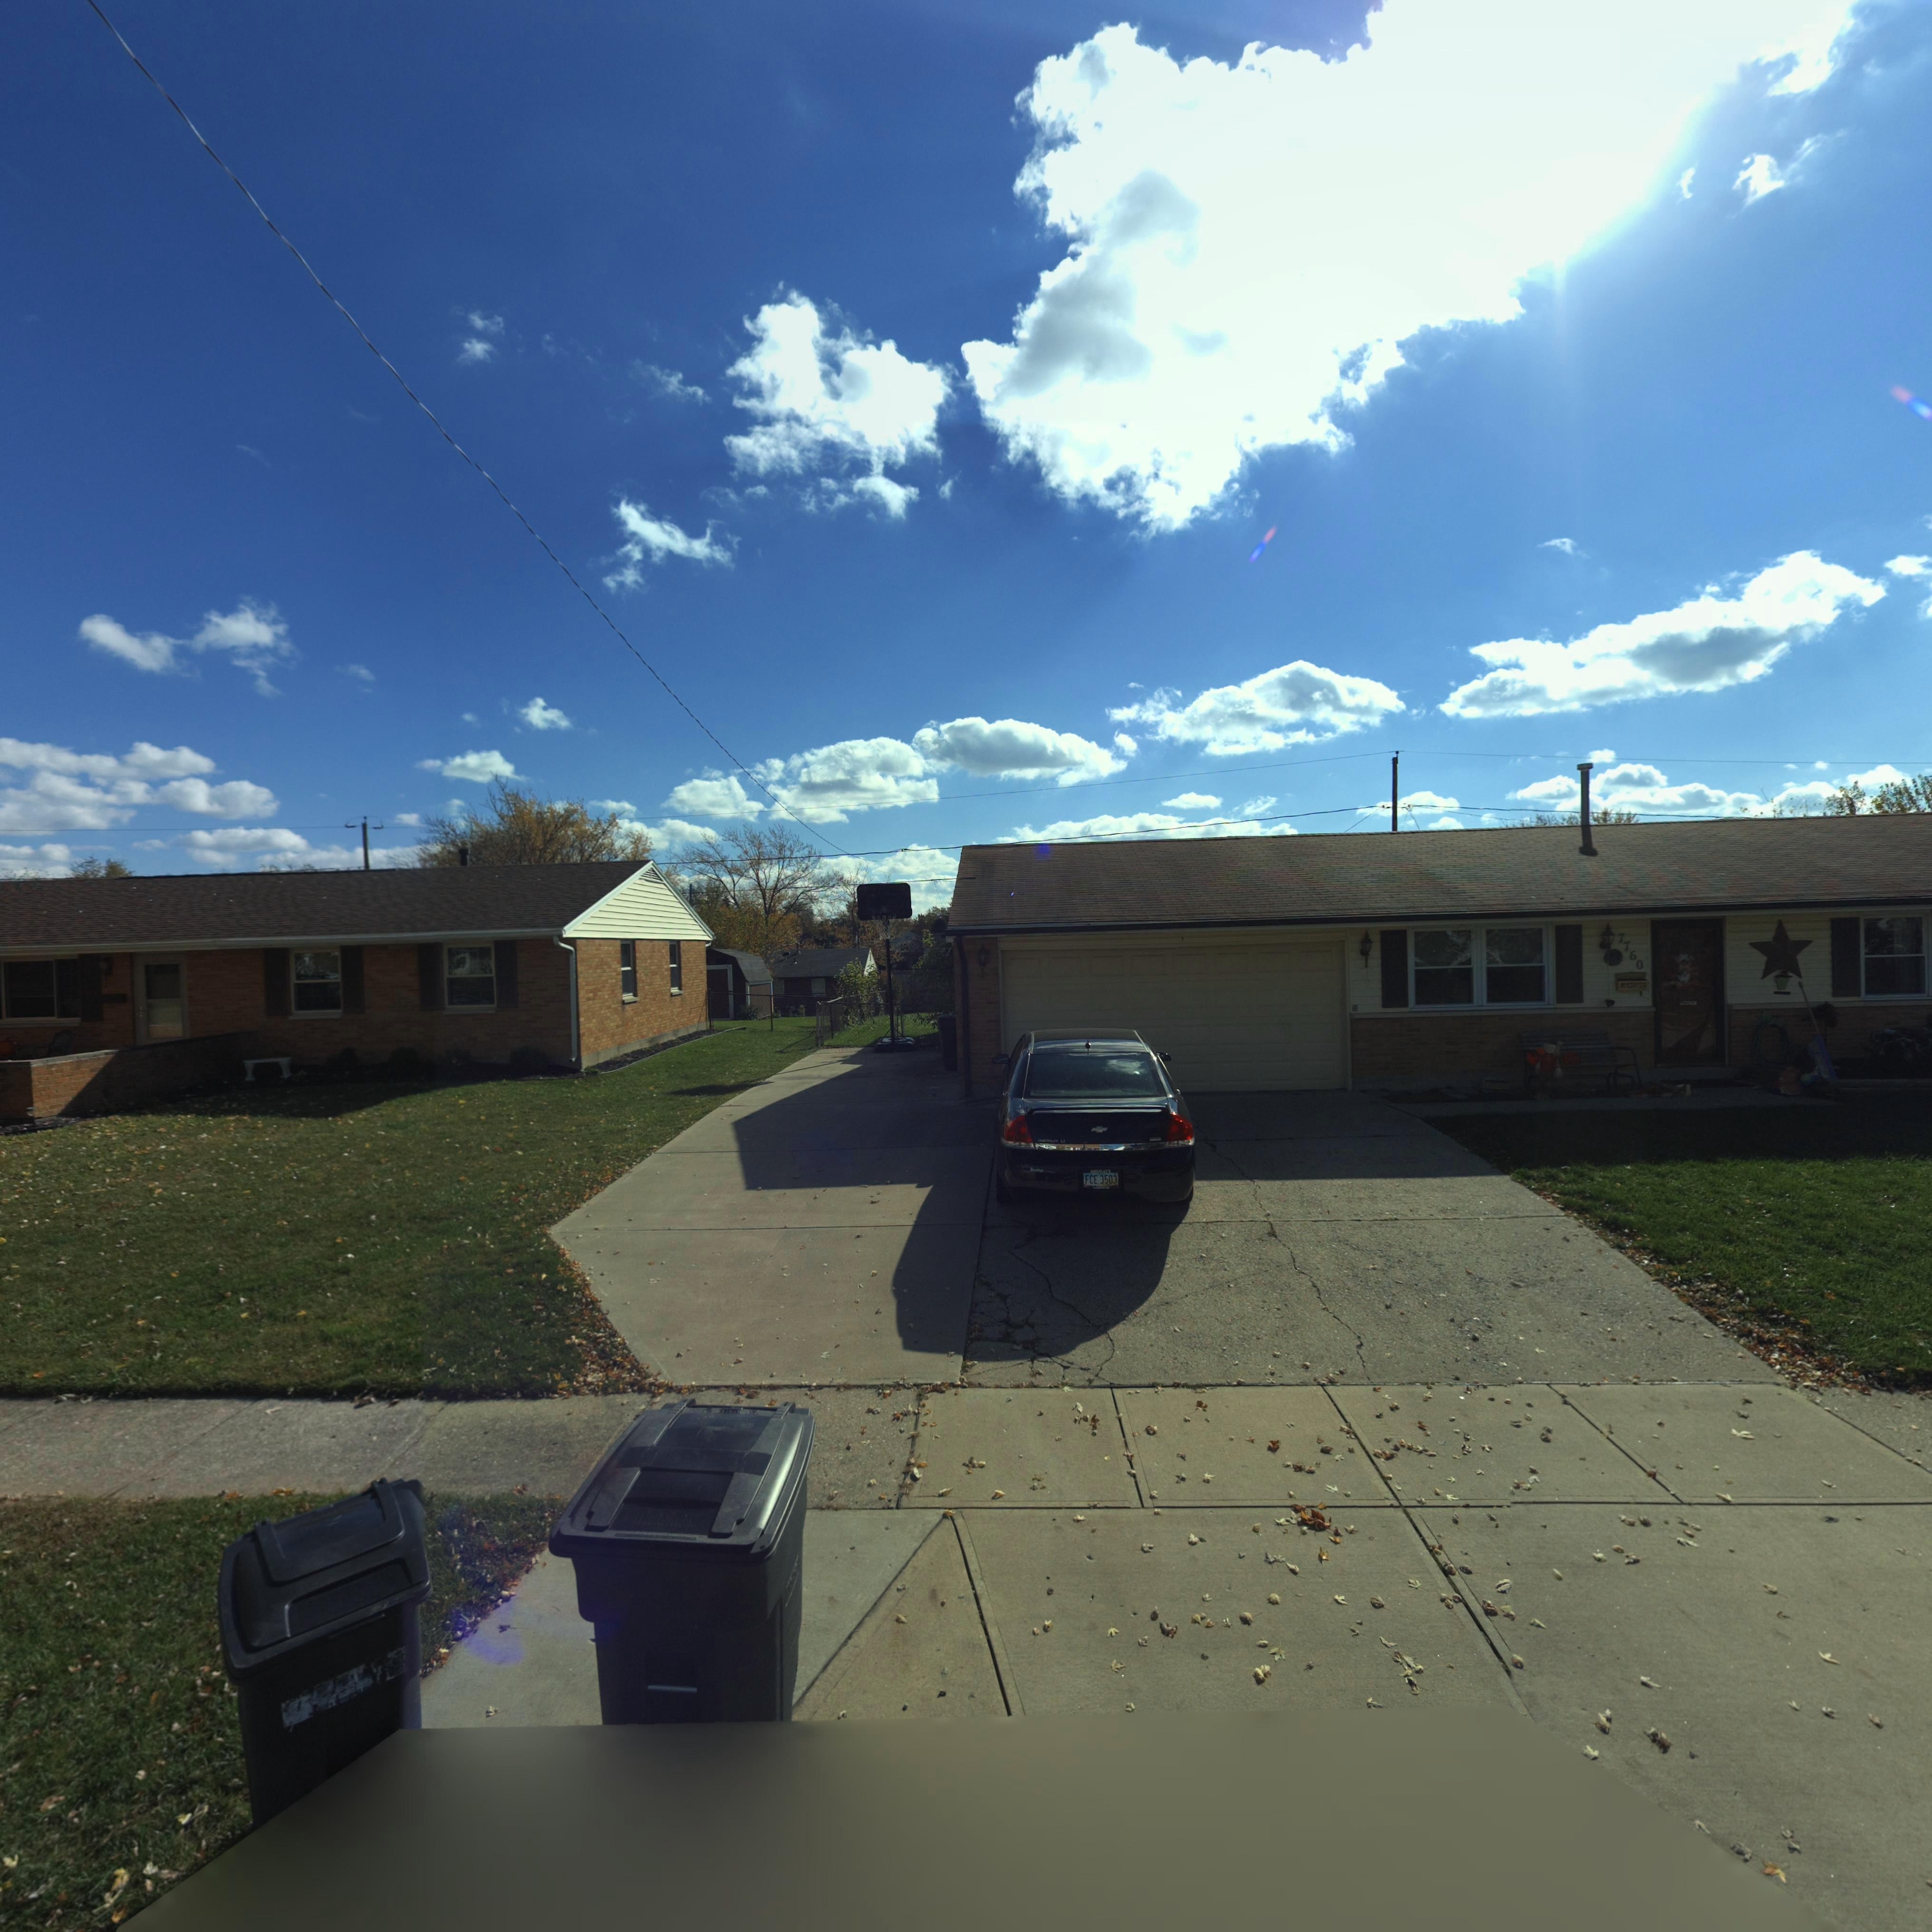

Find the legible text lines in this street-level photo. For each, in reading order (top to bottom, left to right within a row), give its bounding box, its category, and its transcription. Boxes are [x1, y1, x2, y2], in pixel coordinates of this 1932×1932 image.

[1618, 933, 1644, 970] StreetNumber: 7760